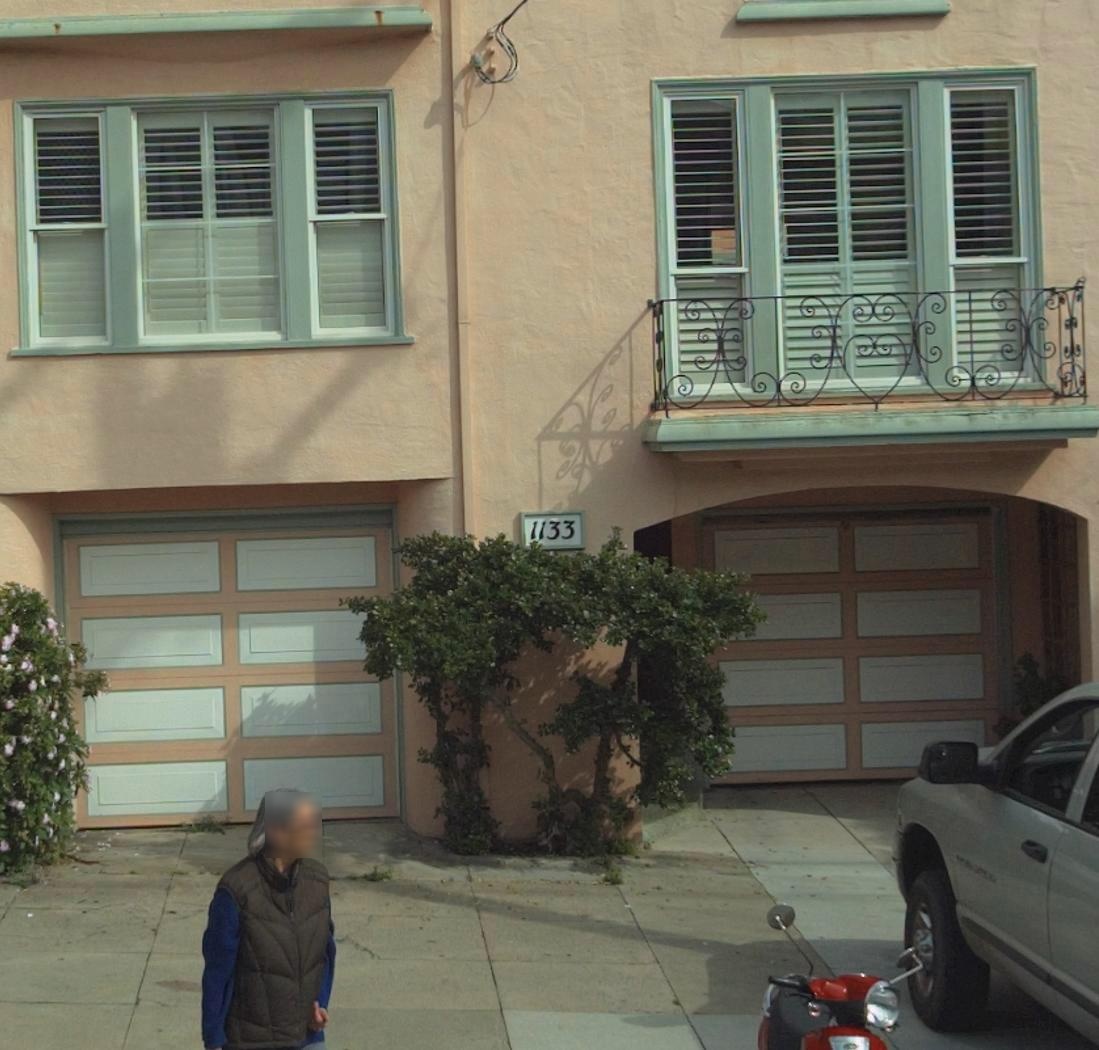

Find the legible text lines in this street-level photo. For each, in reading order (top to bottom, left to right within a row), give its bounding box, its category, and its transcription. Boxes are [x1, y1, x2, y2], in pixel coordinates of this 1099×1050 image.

[530, 520, 577, 540] StreetNumber: 1133